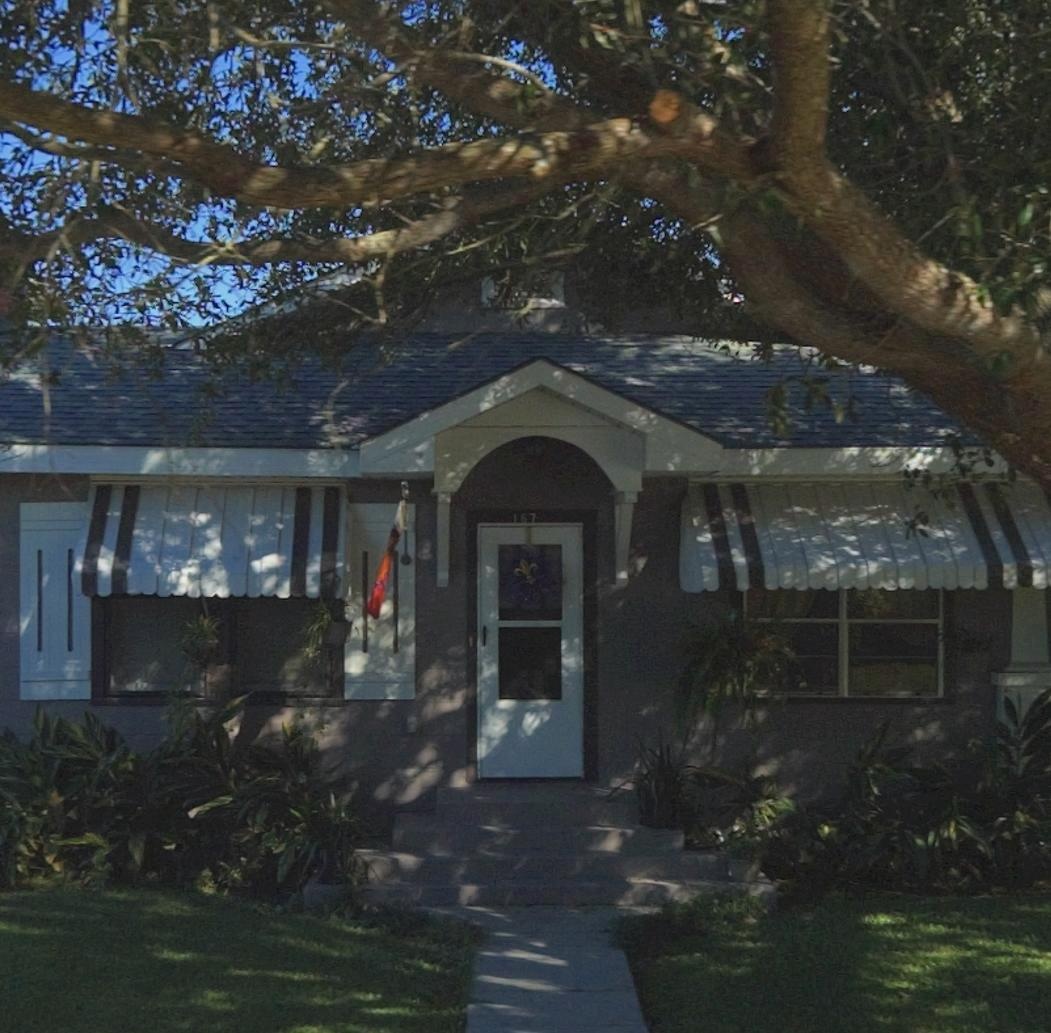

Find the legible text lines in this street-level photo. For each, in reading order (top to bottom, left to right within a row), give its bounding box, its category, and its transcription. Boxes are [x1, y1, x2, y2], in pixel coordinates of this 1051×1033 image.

[511, 510, 538, 525] StreetNumber: 167